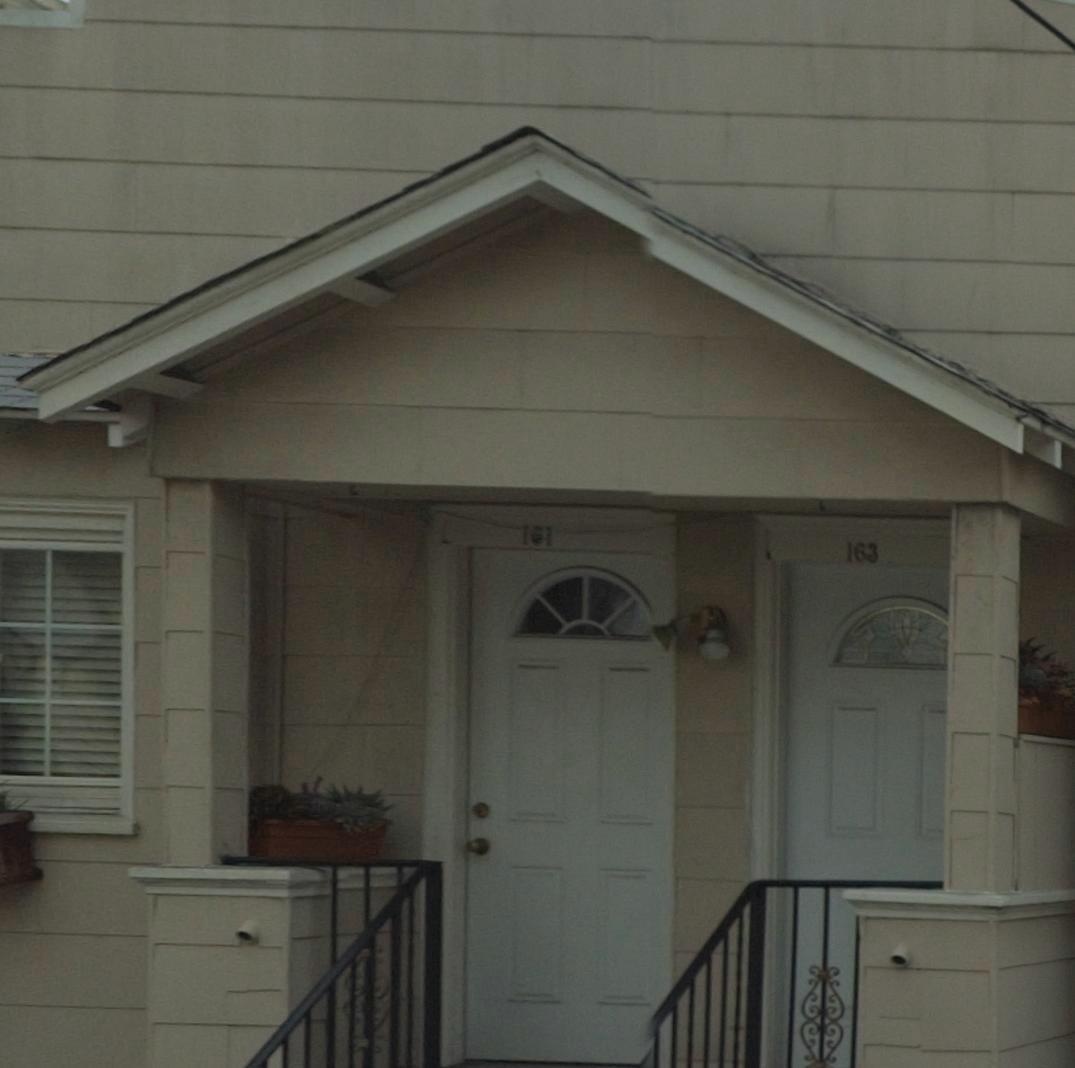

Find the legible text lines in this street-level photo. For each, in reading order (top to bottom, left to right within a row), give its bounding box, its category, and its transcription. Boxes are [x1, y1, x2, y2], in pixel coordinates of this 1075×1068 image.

[520, 523, 555, 548] StreetNumber: 161
[845, 540, 880, 564] StreetNumber: 163